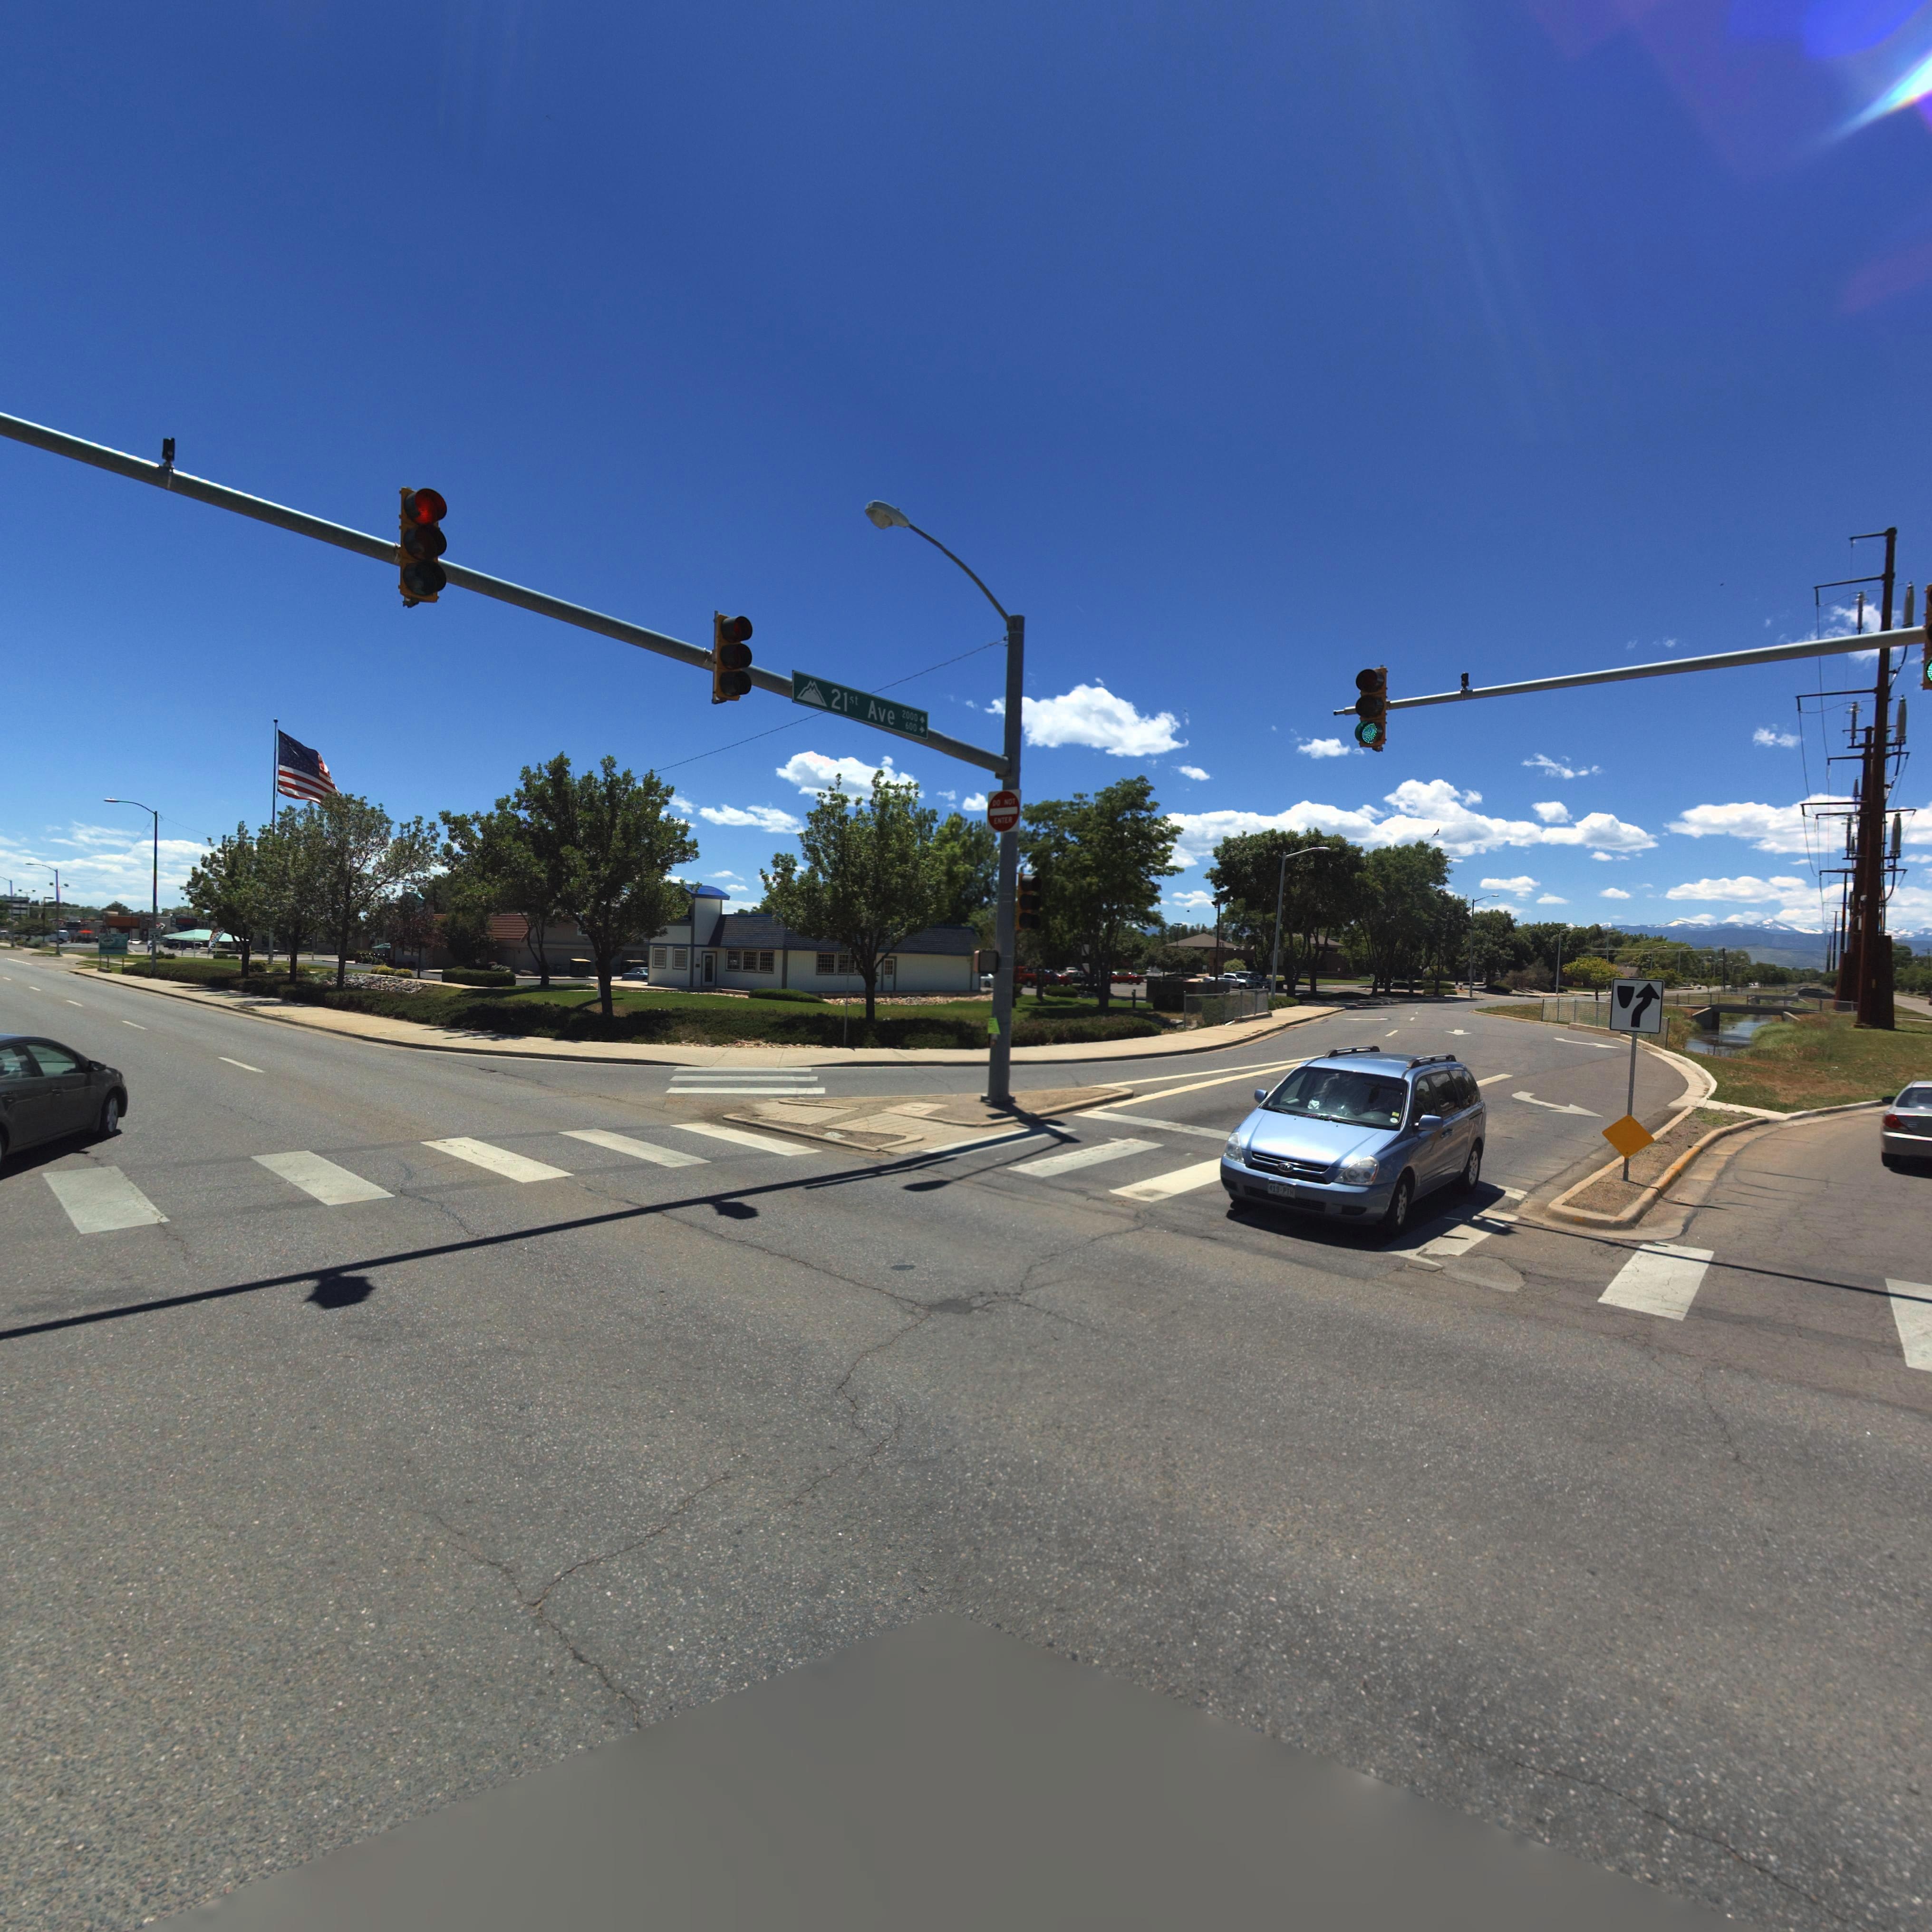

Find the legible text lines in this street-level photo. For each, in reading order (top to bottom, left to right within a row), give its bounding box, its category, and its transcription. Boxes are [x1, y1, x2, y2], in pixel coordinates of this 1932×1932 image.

[830, 687, 895, 725] StreetName: 21st Ave
[901, 709, 918, 722] StreetNumberRange: 2000
[905, 721, 925, 733] StreetNumberRange: 600->
[51, 920, 65, 927] BusinessName: *Q
[145, 917, 153, 921] BusinessName: DQ